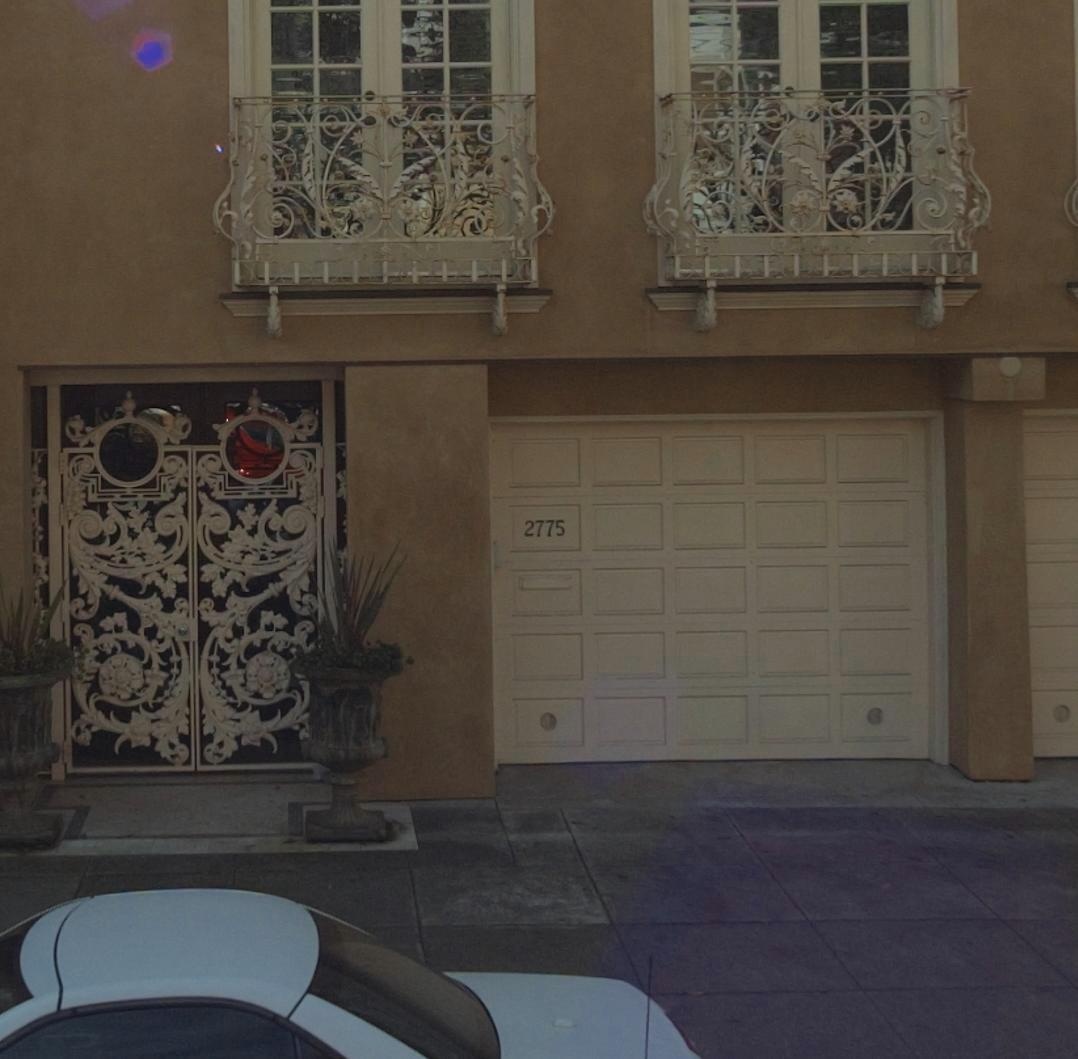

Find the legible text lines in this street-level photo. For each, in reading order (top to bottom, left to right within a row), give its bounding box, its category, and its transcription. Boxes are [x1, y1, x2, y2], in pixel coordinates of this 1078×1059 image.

[522, 516, 567, 539] StreetNumber: 2775